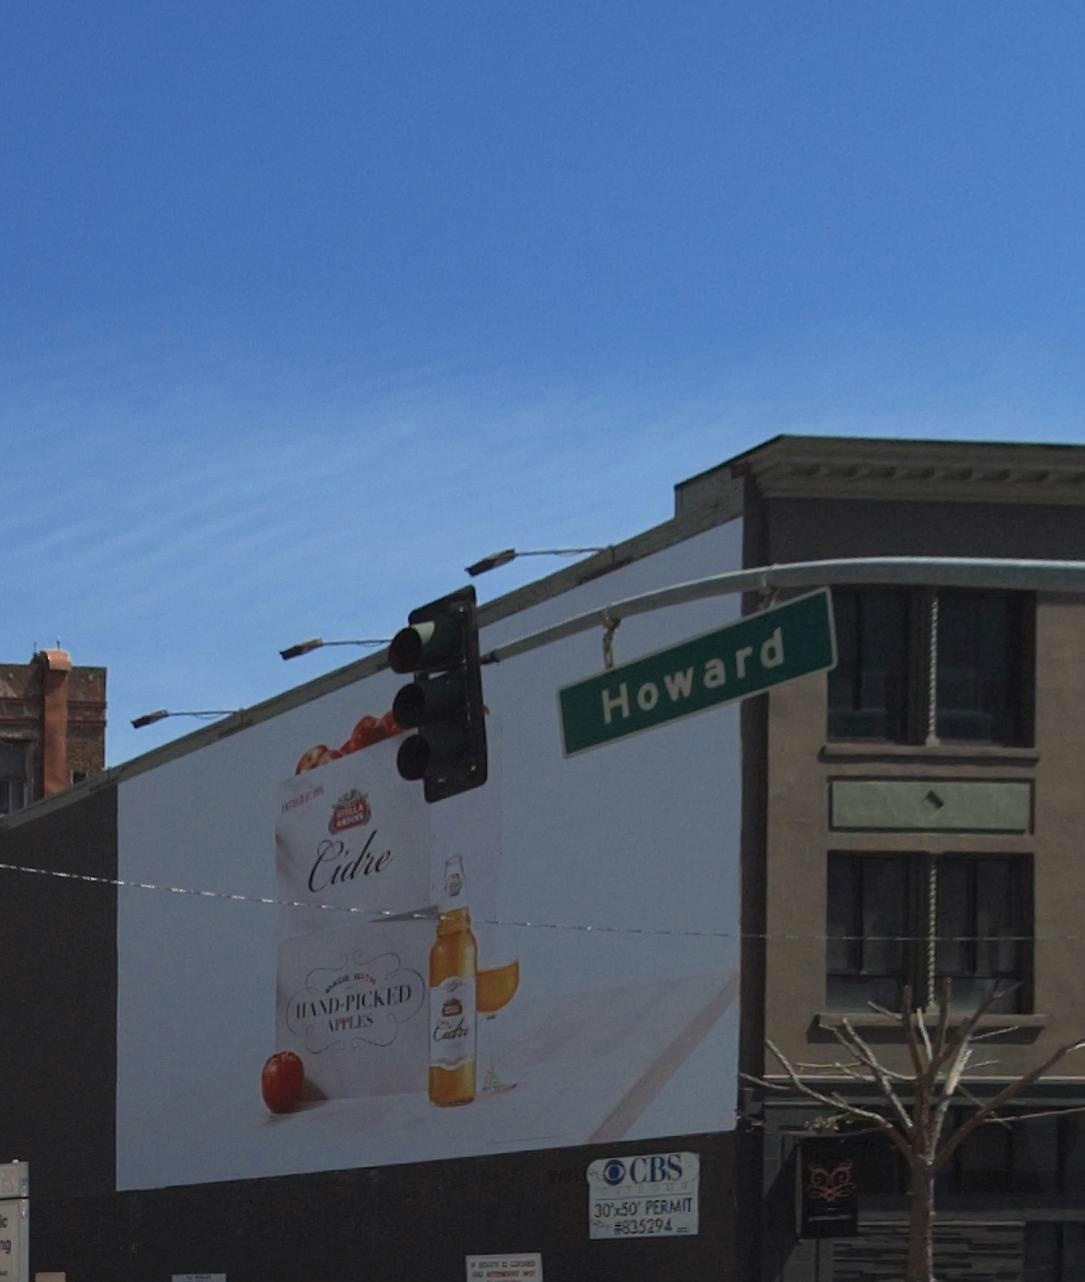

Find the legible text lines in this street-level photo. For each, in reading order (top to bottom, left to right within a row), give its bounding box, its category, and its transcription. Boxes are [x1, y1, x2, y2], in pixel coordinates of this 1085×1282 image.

[597, 621, 788, 729] StreetName: Howard
[303, 824, 398, 897] None: Cidre
[294, 982, 413, 1021] None: HAND-PICKED
[325, 1011, 374, 1034] None: APPLES
[431, 1013, 471, 1043] None: Cindre
[627, 1153, 683, 1184] None: CBS
[593, 1195, 695, 1219] None: 30'x50' PERMIT
[1, 1216, 8, 1230] None: c
[611, 1216, 676, 1236] None: #835294
[4, 1238, 12, 1257] None: g